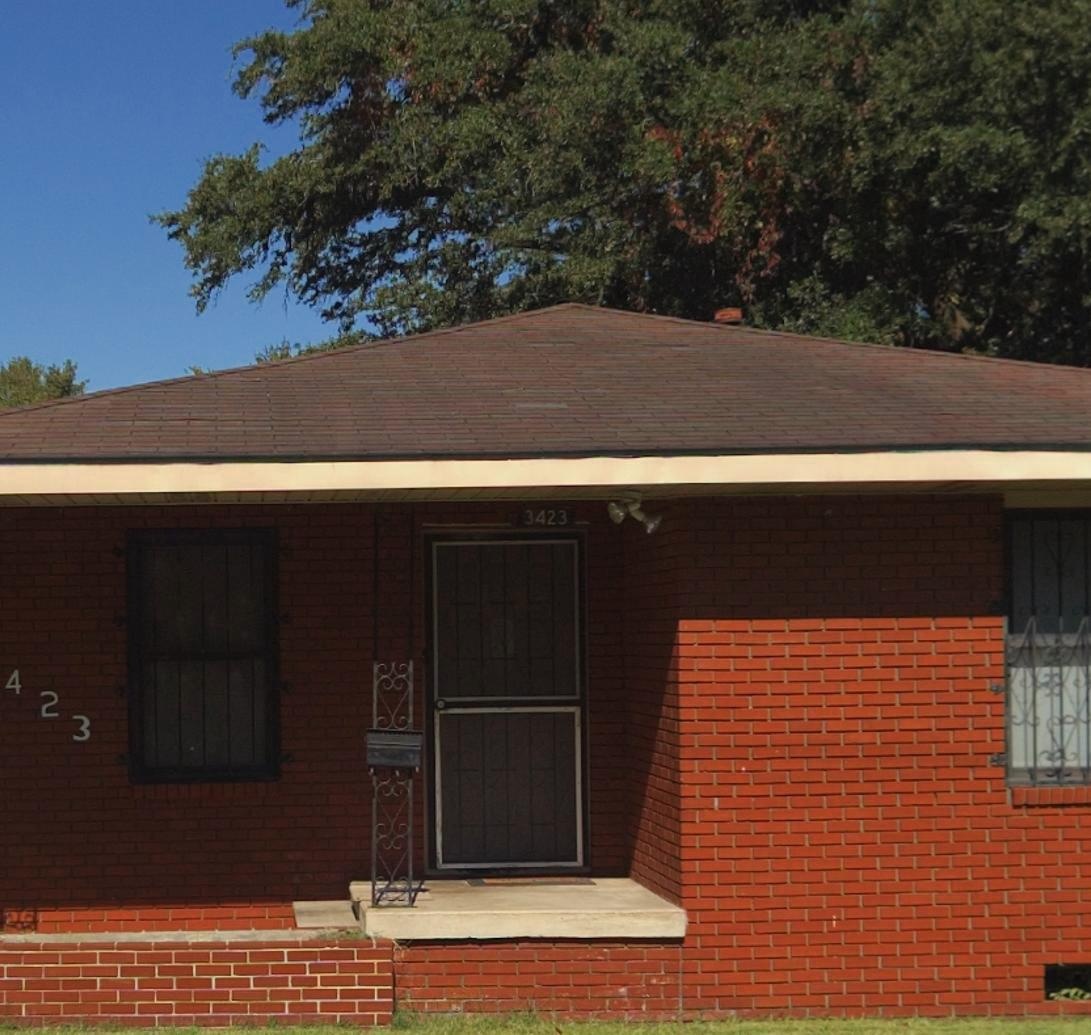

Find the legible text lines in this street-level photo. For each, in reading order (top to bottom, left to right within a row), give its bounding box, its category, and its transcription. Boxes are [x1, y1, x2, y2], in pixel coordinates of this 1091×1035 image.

[524, 508, 568, 527] StreetNumber: 3423
[1, 667, 92, 743] StreetNumber: 423